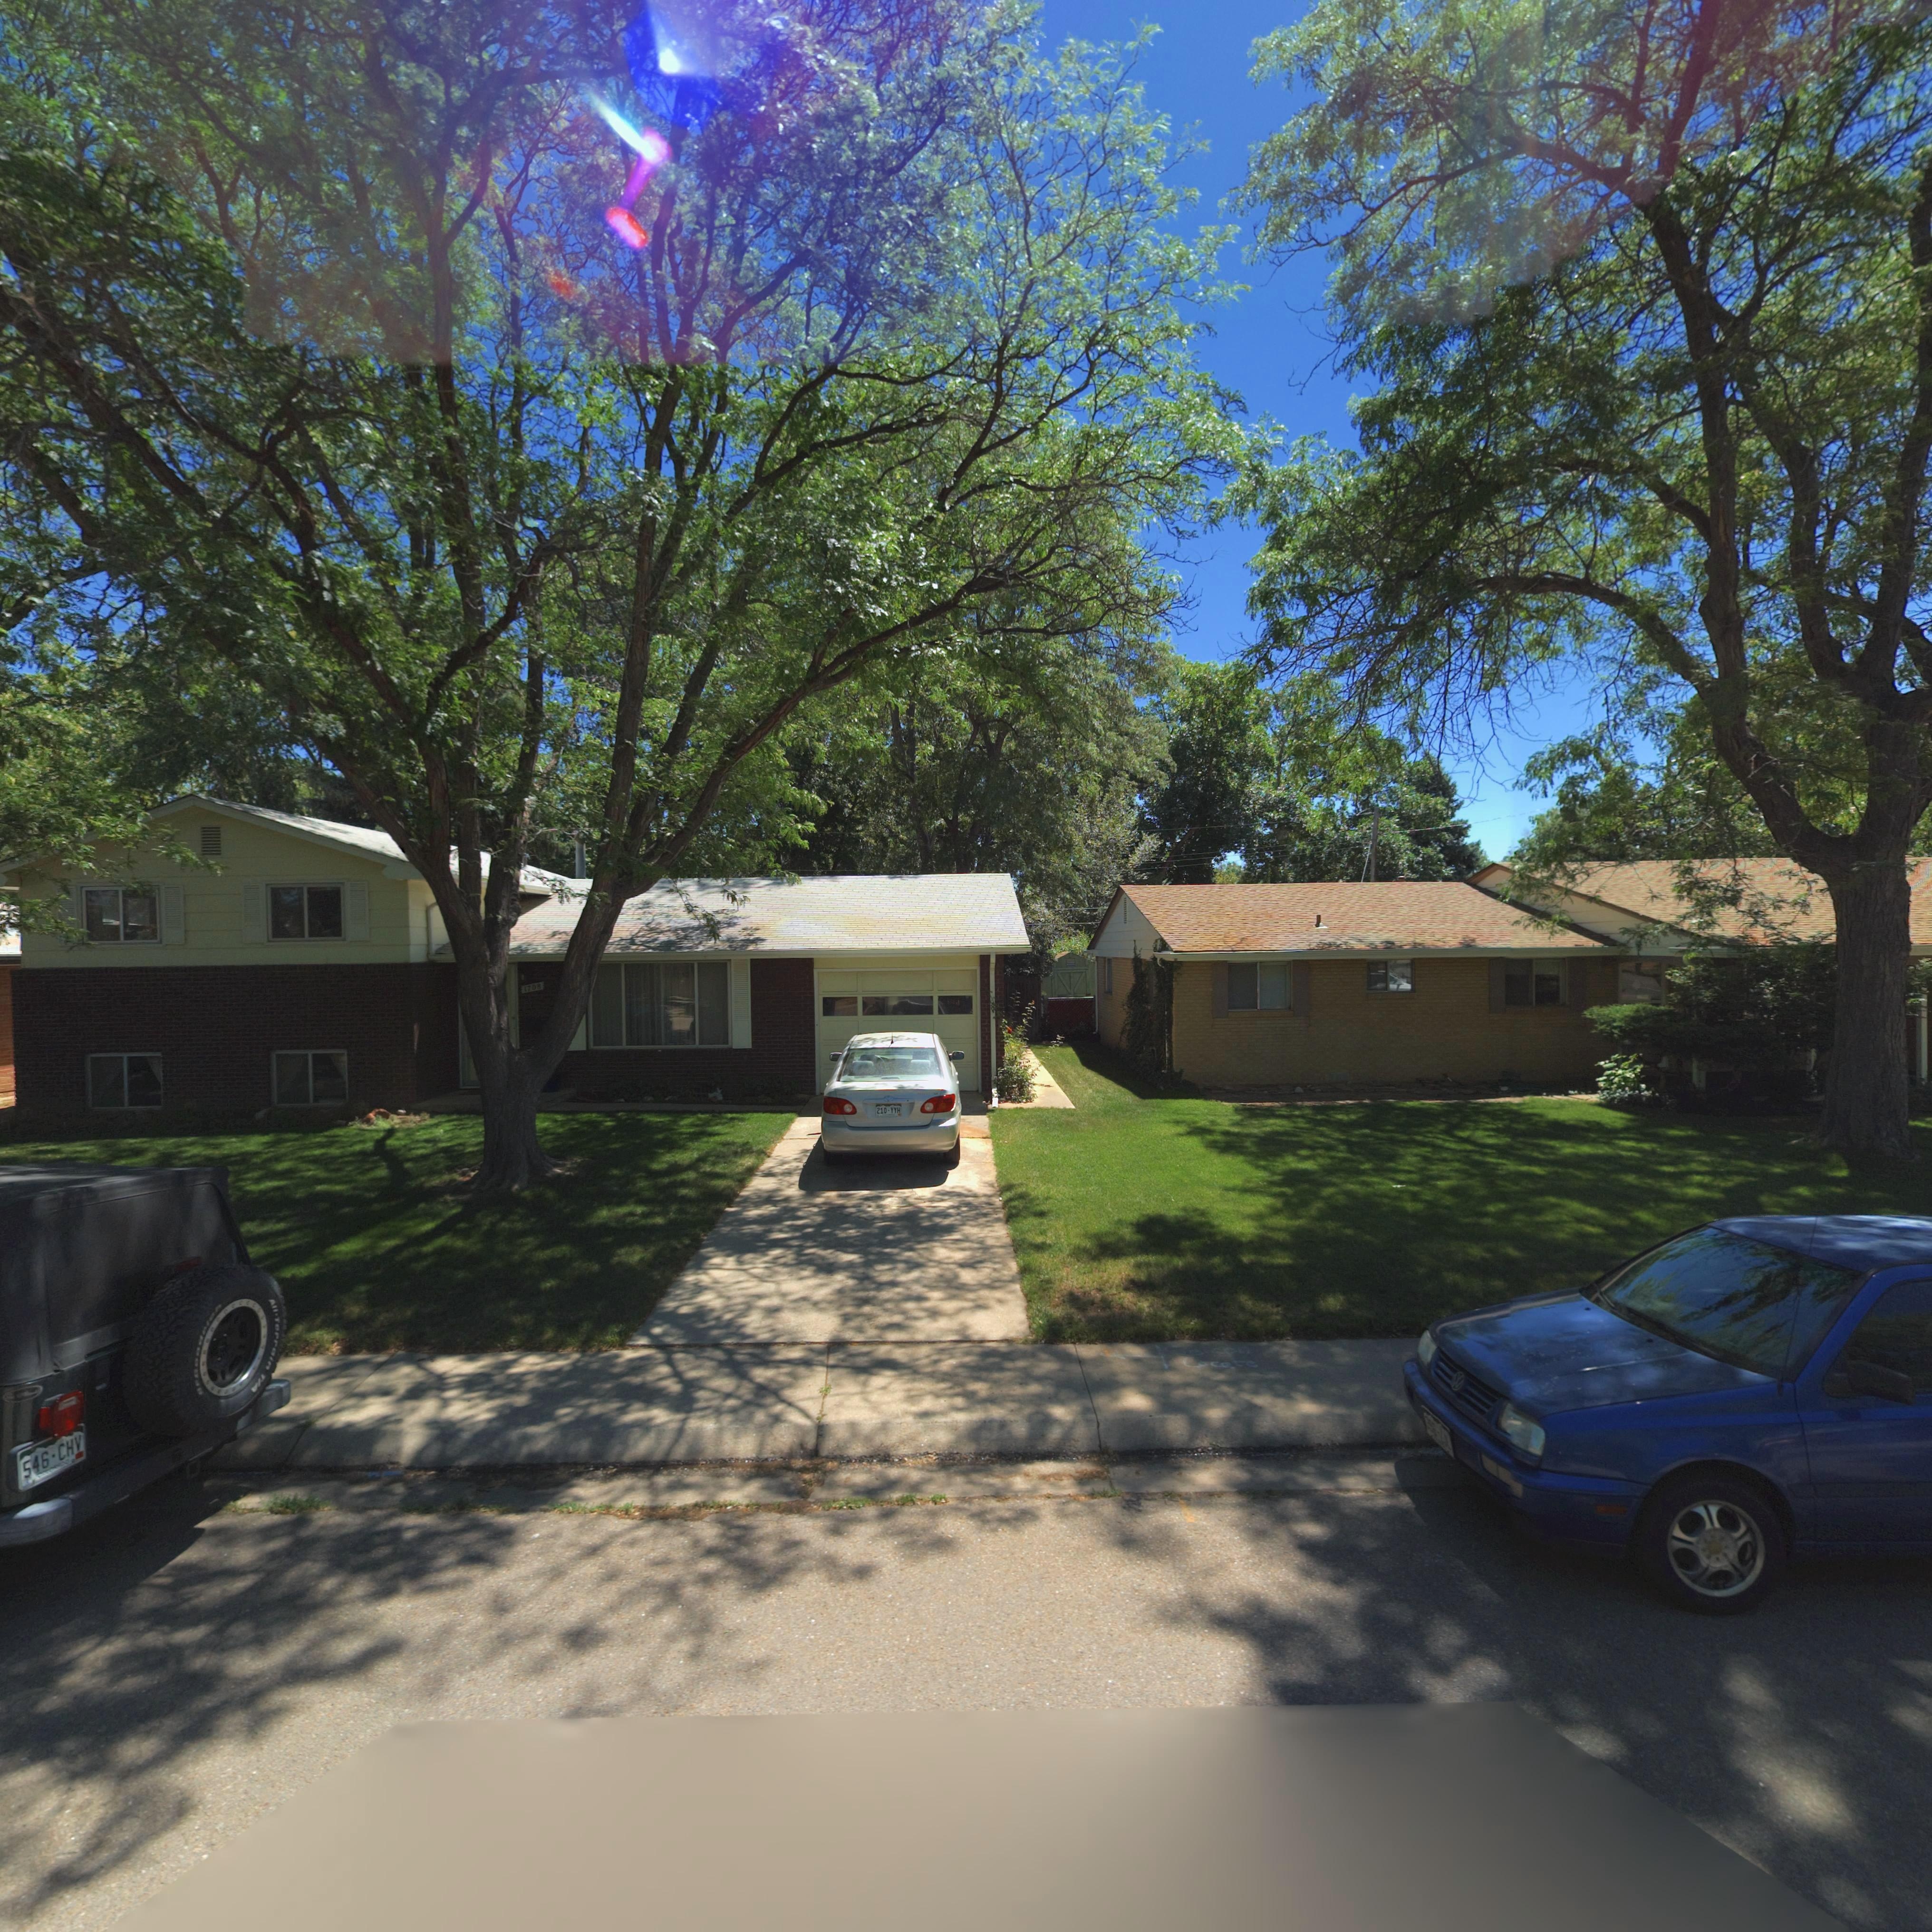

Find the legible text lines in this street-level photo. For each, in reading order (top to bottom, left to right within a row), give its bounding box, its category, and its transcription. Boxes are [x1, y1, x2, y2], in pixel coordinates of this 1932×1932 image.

[523, 983, 541, 992] StreetNumber: 1708